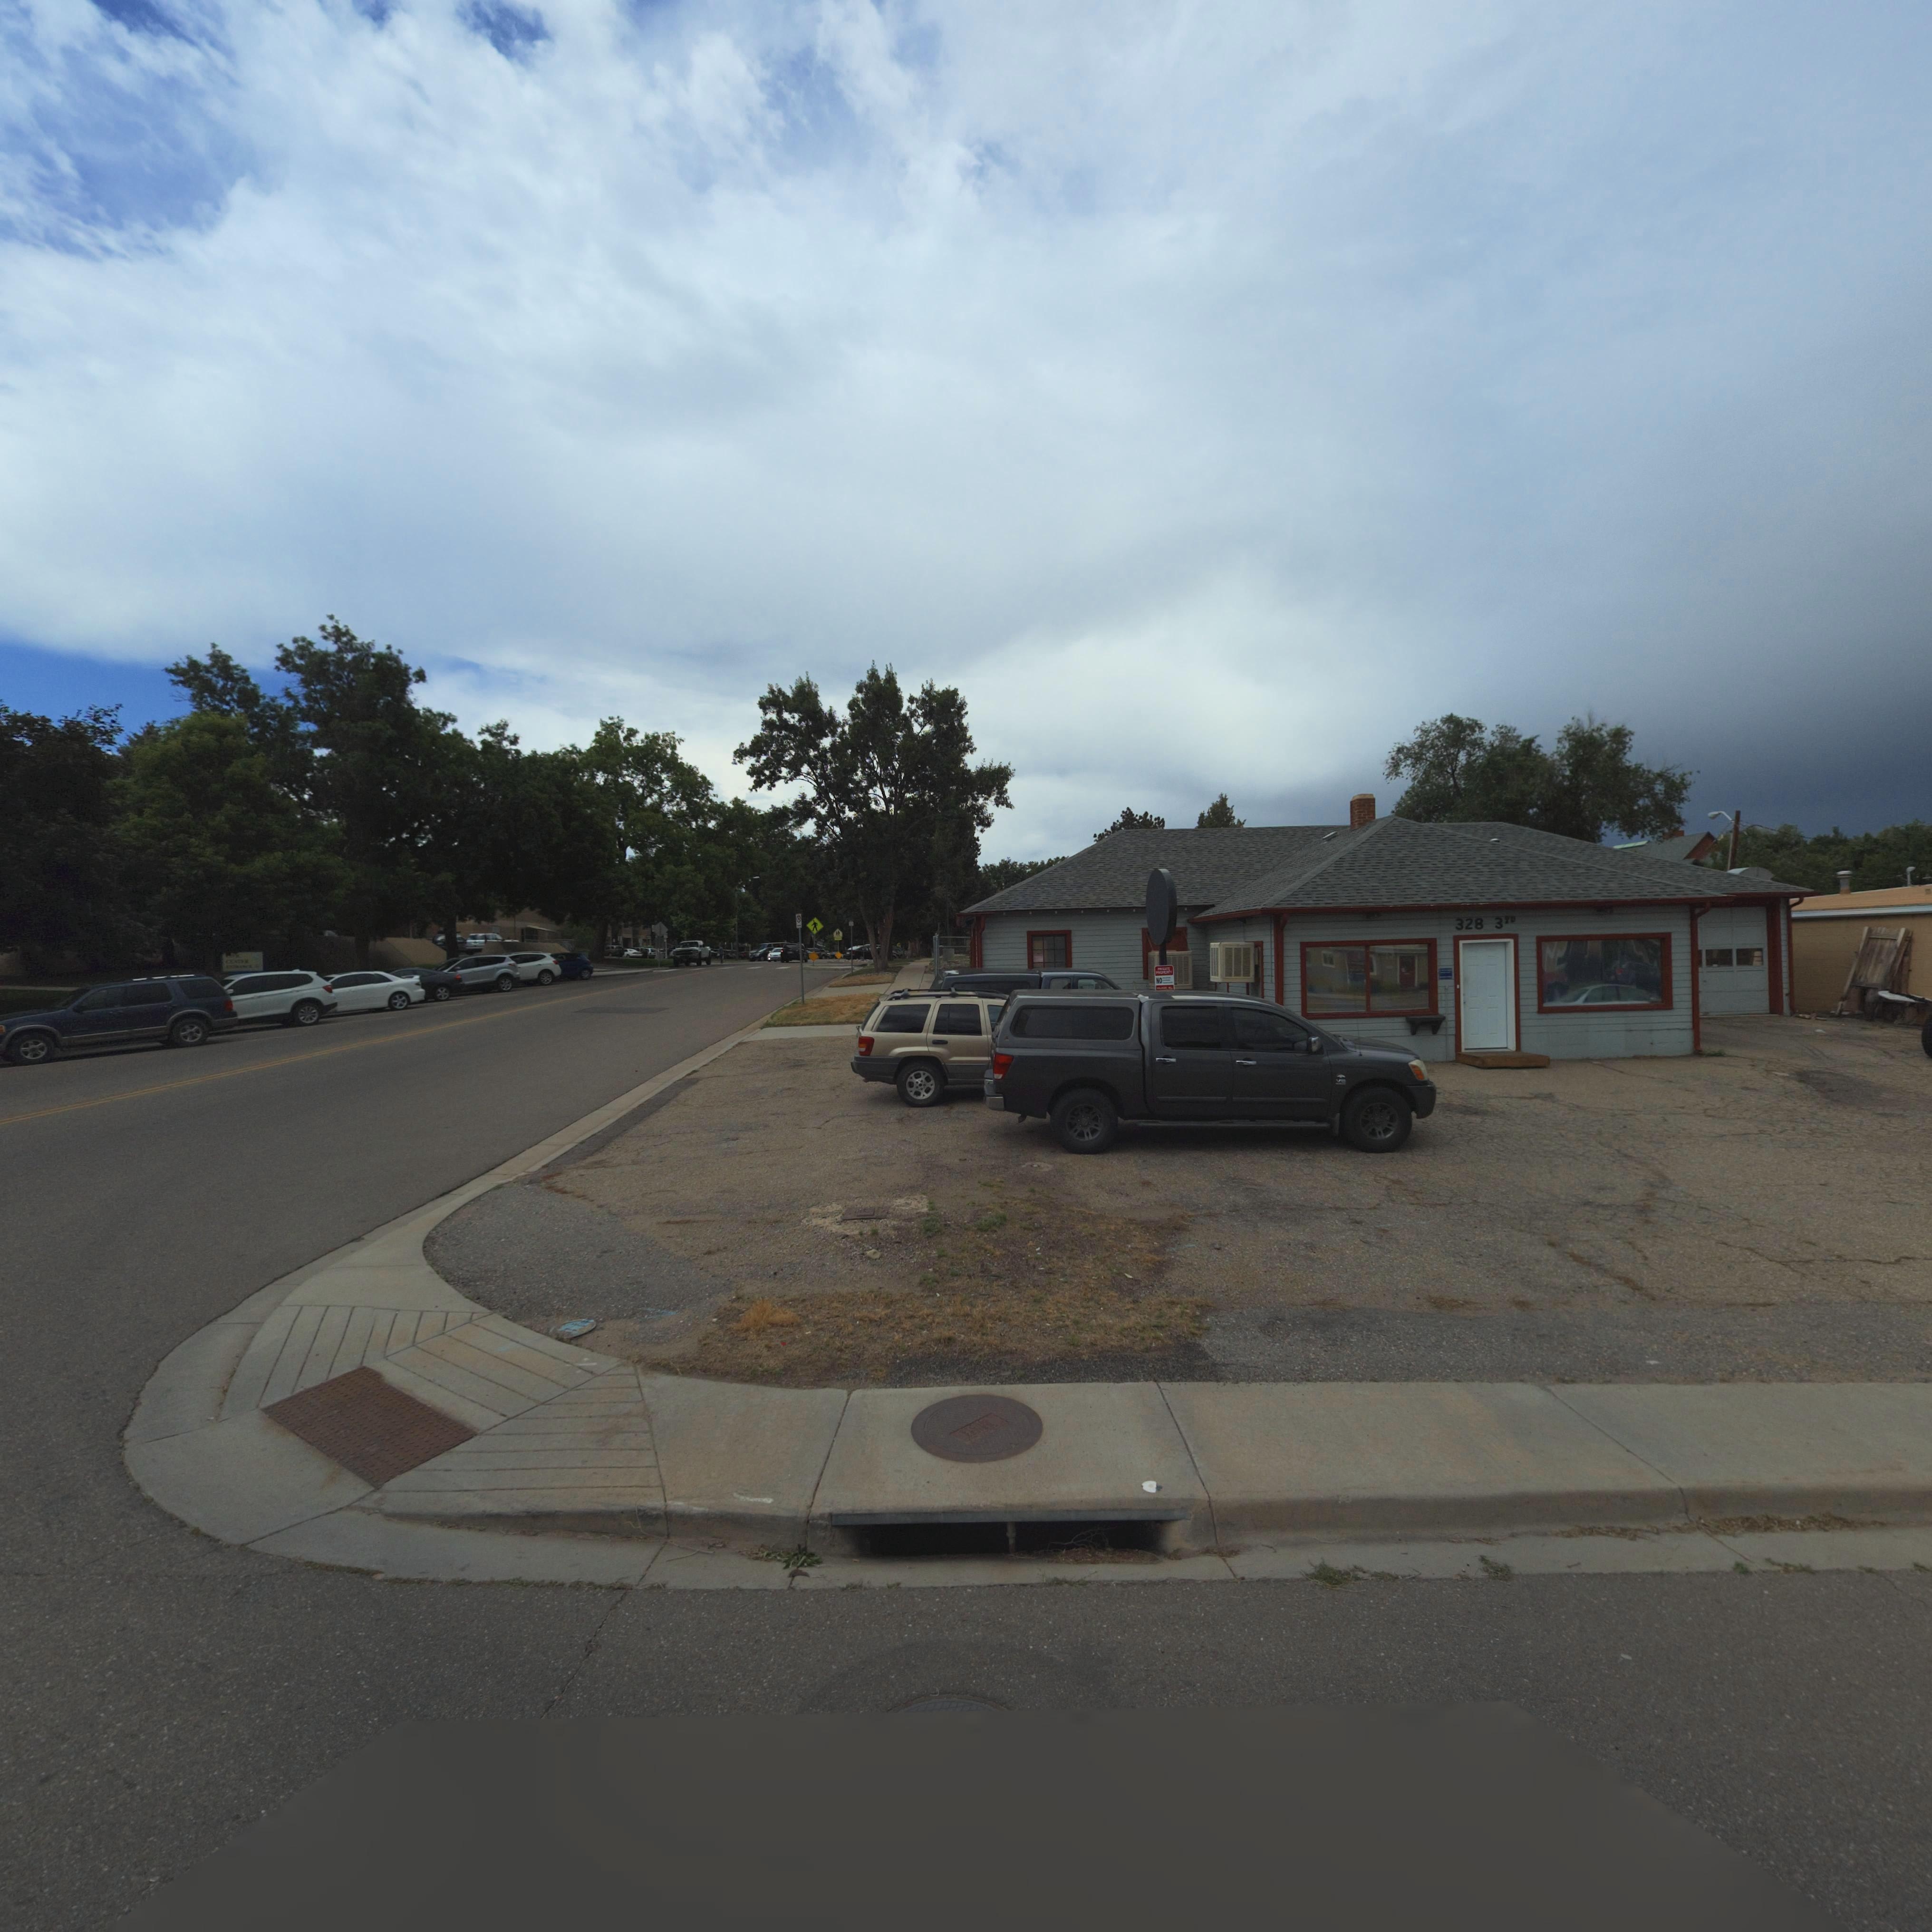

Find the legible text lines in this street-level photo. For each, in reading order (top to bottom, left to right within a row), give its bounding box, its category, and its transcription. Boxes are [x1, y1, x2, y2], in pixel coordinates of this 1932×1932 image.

[1454, 917, 1484, 930] StreetNumber: 328